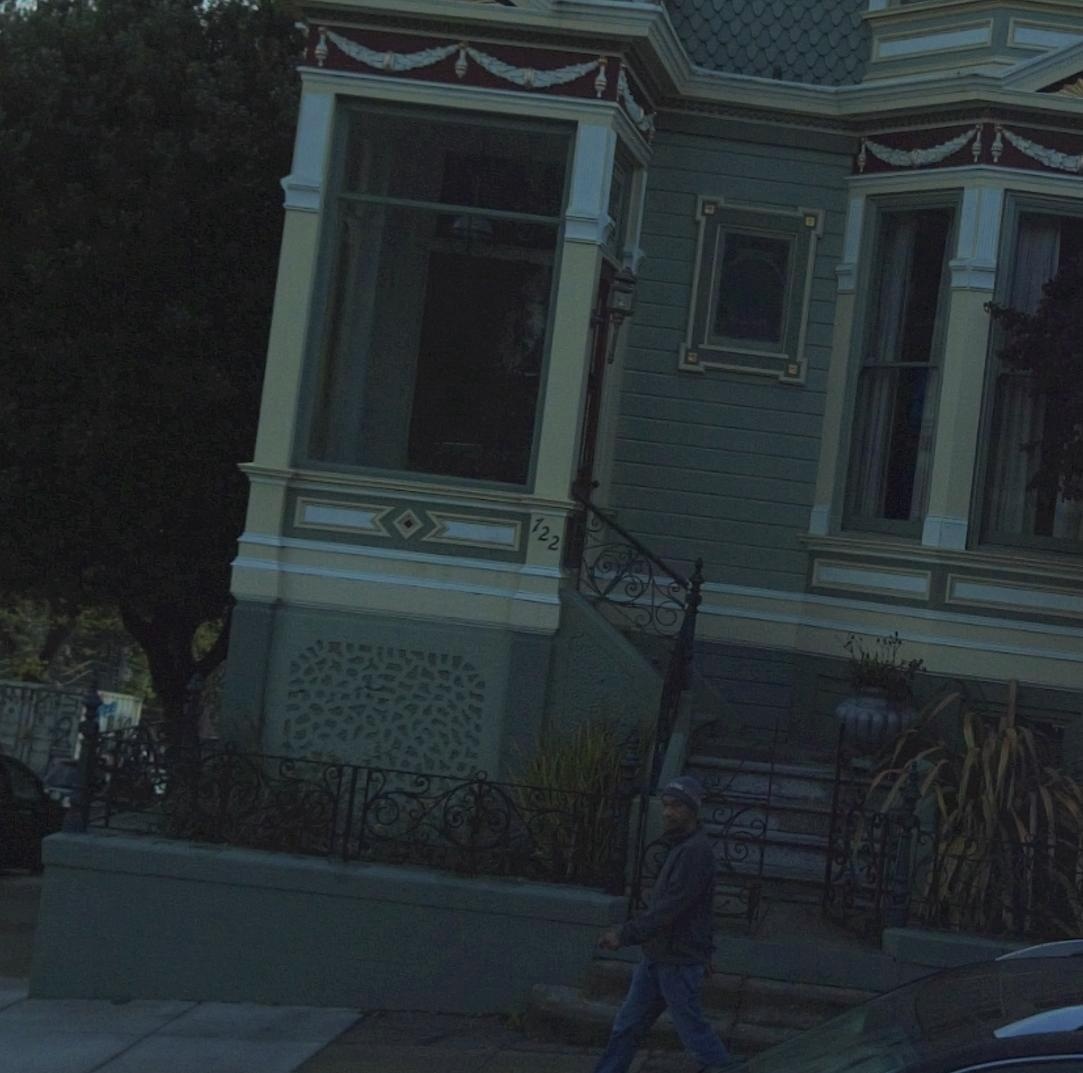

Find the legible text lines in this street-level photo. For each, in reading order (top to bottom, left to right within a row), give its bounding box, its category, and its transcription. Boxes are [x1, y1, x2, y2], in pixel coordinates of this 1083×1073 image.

[529, 516, 564, 554] StreetNumber: 722